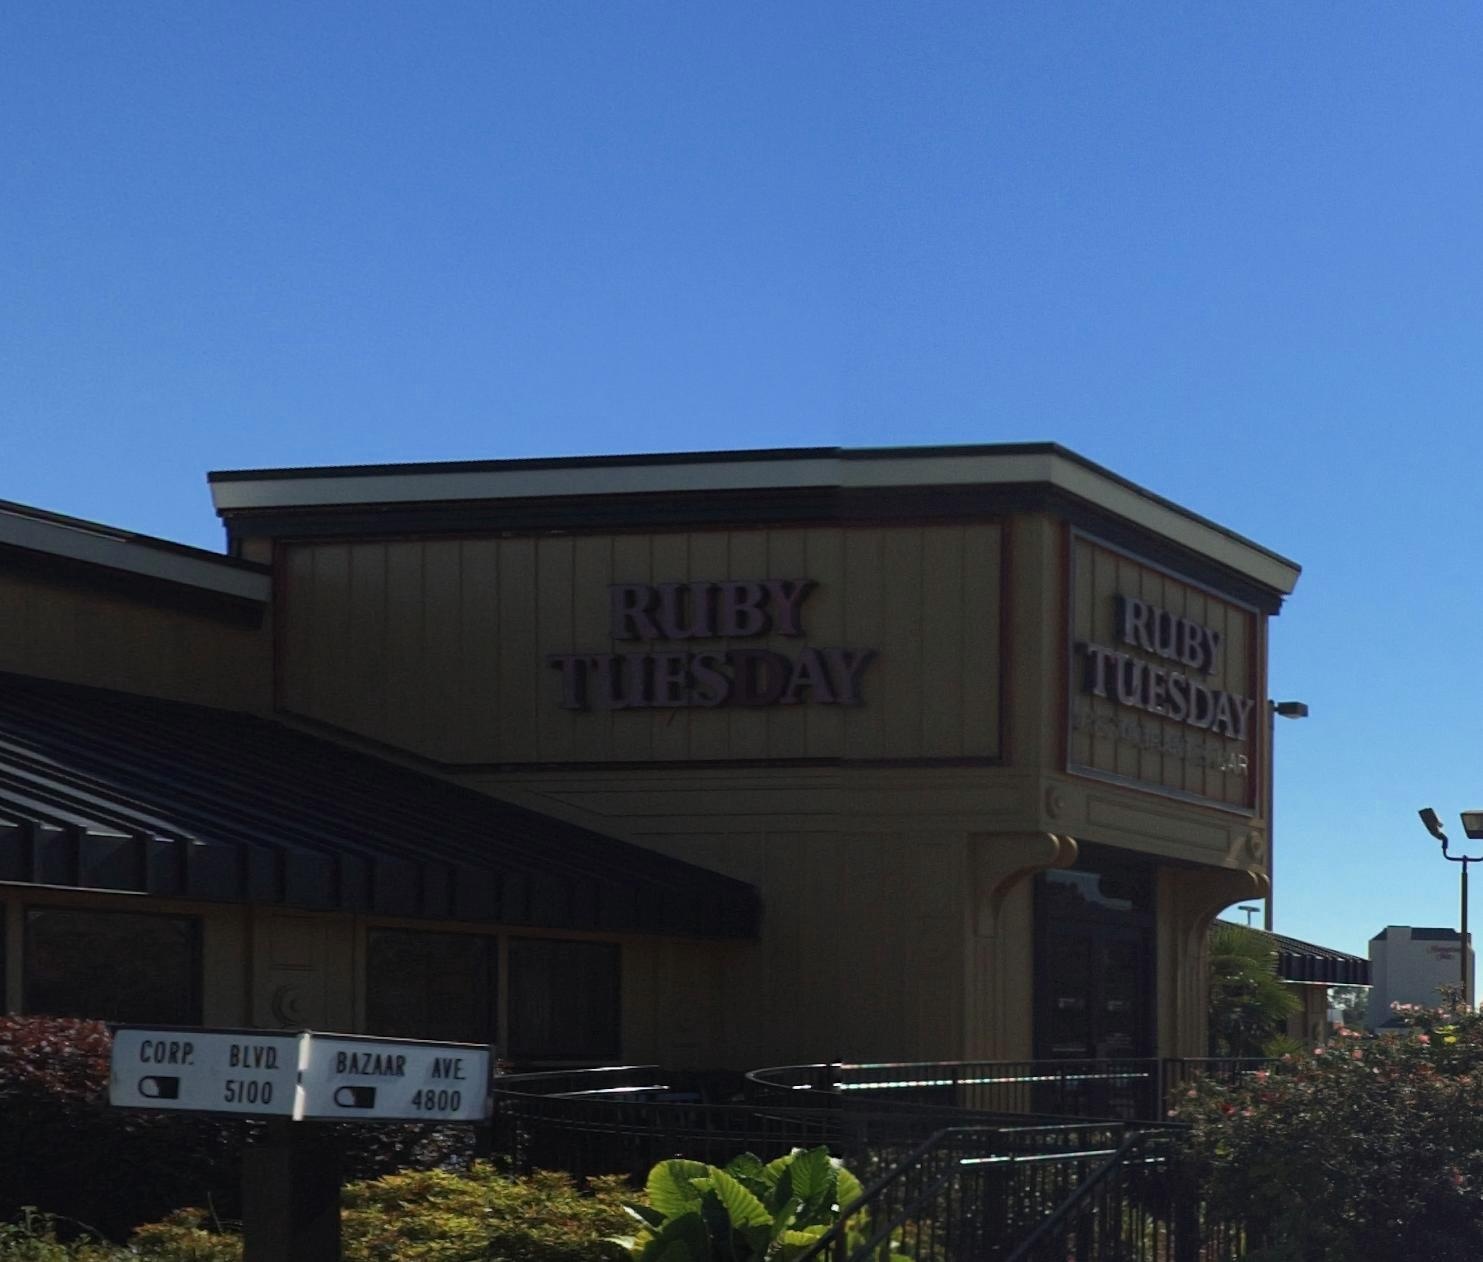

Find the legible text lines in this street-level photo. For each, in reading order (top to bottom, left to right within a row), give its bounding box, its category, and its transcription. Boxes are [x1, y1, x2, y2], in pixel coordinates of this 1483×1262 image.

[606, 577, 822, 642] BusinessName: RUBY
[1122, 591, 1229, 681] BusinessName: RUBY
[546, 645, 874, 712] BusinessName: TUESDAY
[1085, 638, 1259, 745] BusinessName: TUESDAY
[1076, 702, 1250, 780] None: RESTAURANT & BAR
[137, 1039, 280, 1071] StreetName: CORP. BLVD.
[223, 1077, 274, 1106] StreetNumber: 5100
[335, 1050, 467, 1082] StreetName: BAZAAR AVE.
[410, 1088, 463, 1112] StreetNumber: 4800